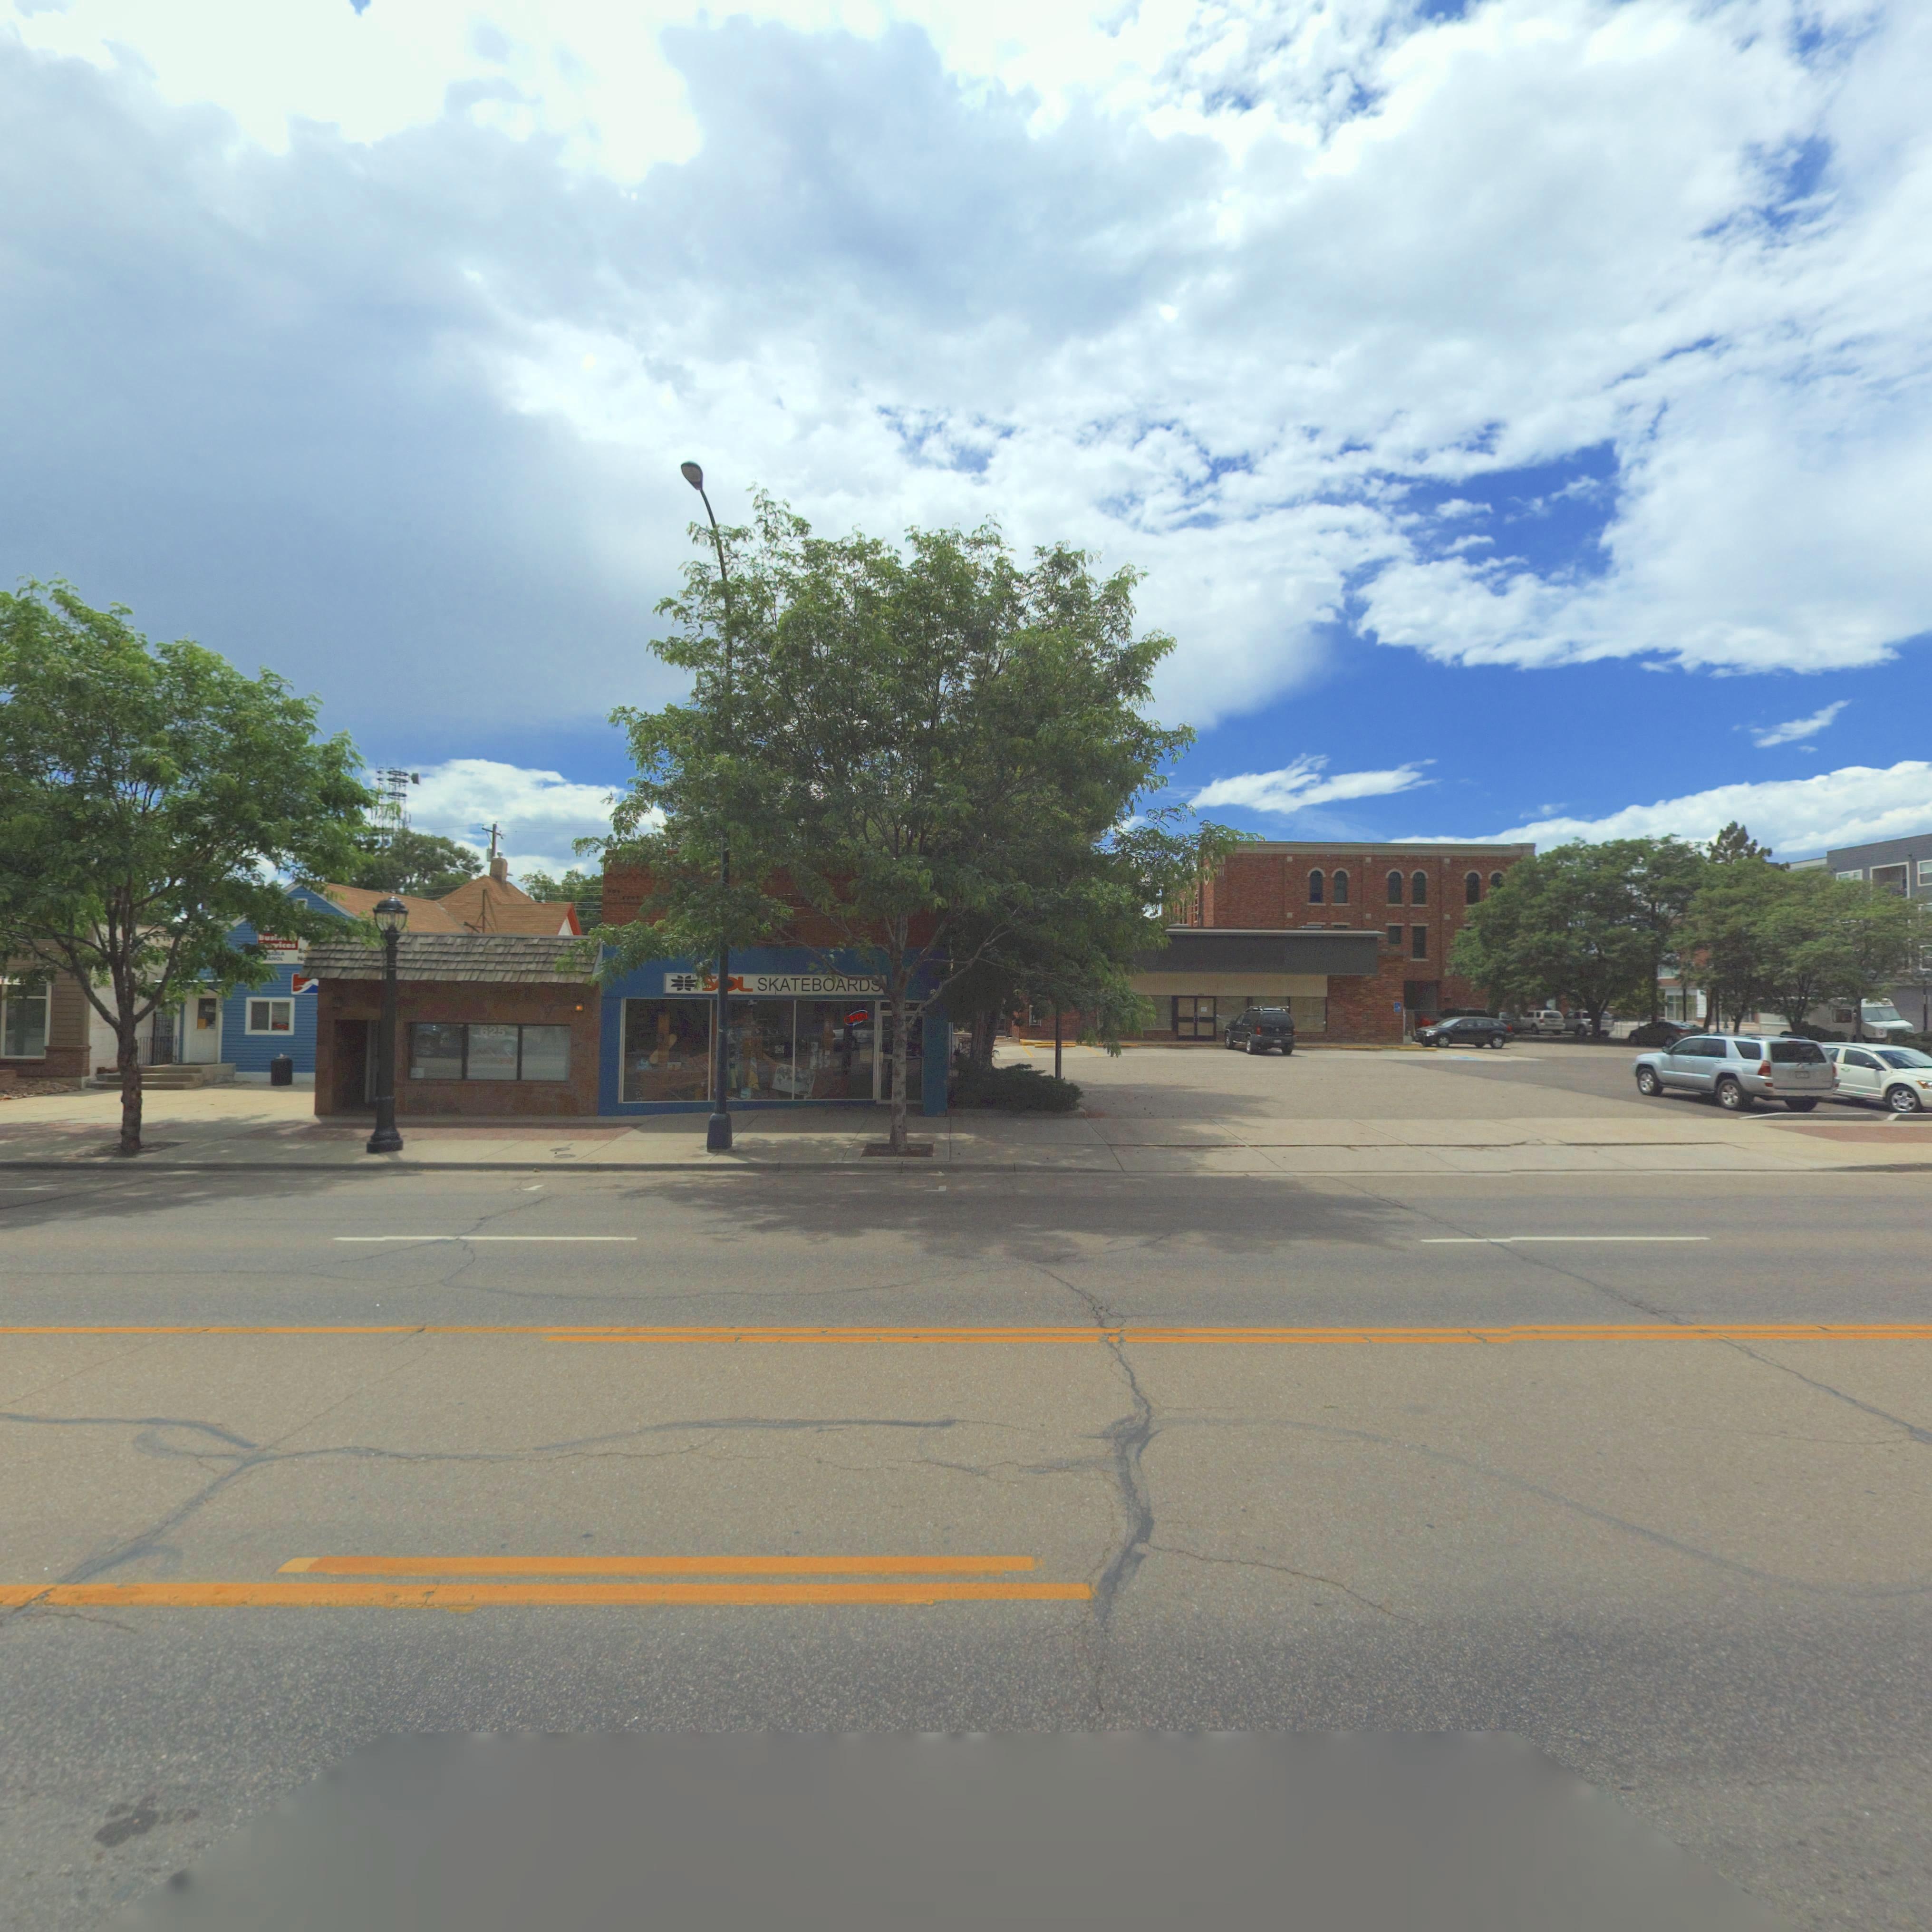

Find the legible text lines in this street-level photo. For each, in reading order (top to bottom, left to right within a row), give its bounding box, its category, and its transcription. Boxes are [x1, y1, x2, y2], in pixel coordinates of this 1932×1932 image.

[701, 974, 882, 993] BusinessName: S*L SKATEBOARDS
[479, 1025, 506, 1037] StreetNumber: 625